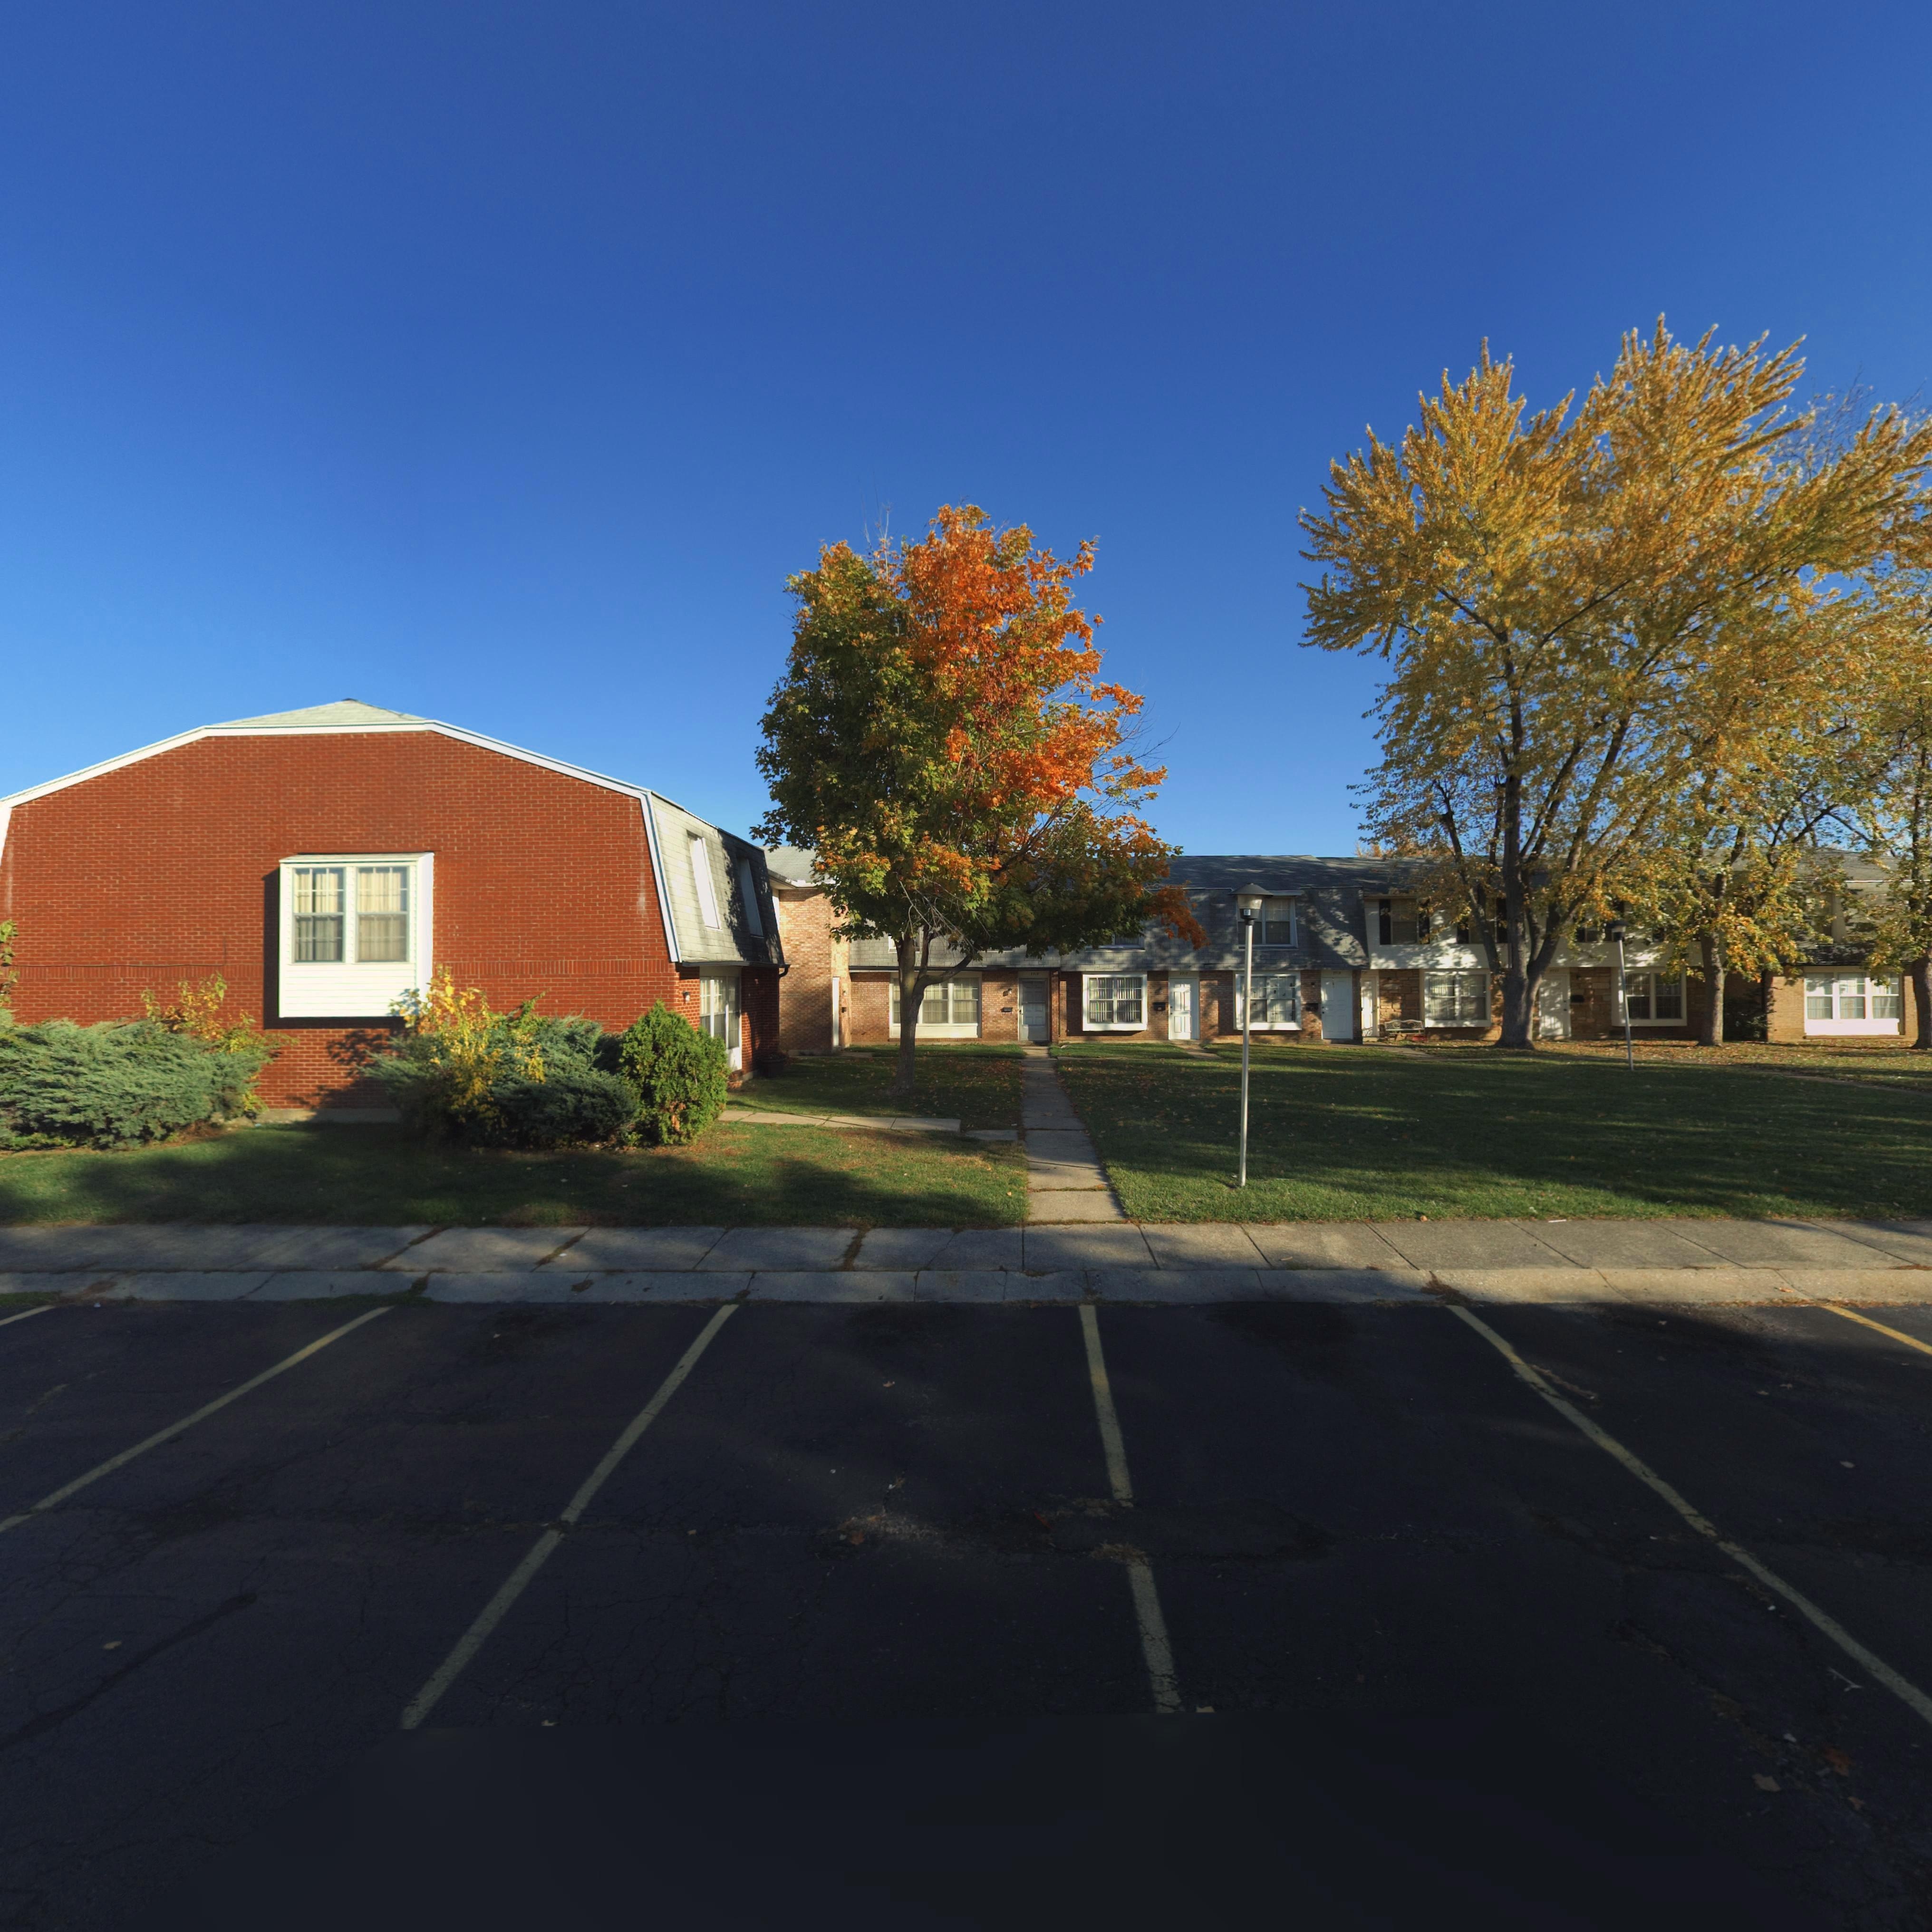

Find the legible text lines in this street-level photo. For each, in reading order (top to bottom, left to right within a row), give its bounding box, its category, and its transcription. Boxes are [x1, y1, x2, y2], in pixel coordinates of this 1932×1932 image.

[1030, 972, 1039, 976] StreetNumber: 7715
[1179, 971, 1188, 975] StreetNumber: 7717
[1333, 971, 1341, 975] StreetNumber: 7719
[1361, 971, 1368, 975] StreetNumber: 721
[1549, 969, 1560, 974] StreetNumber: 7723